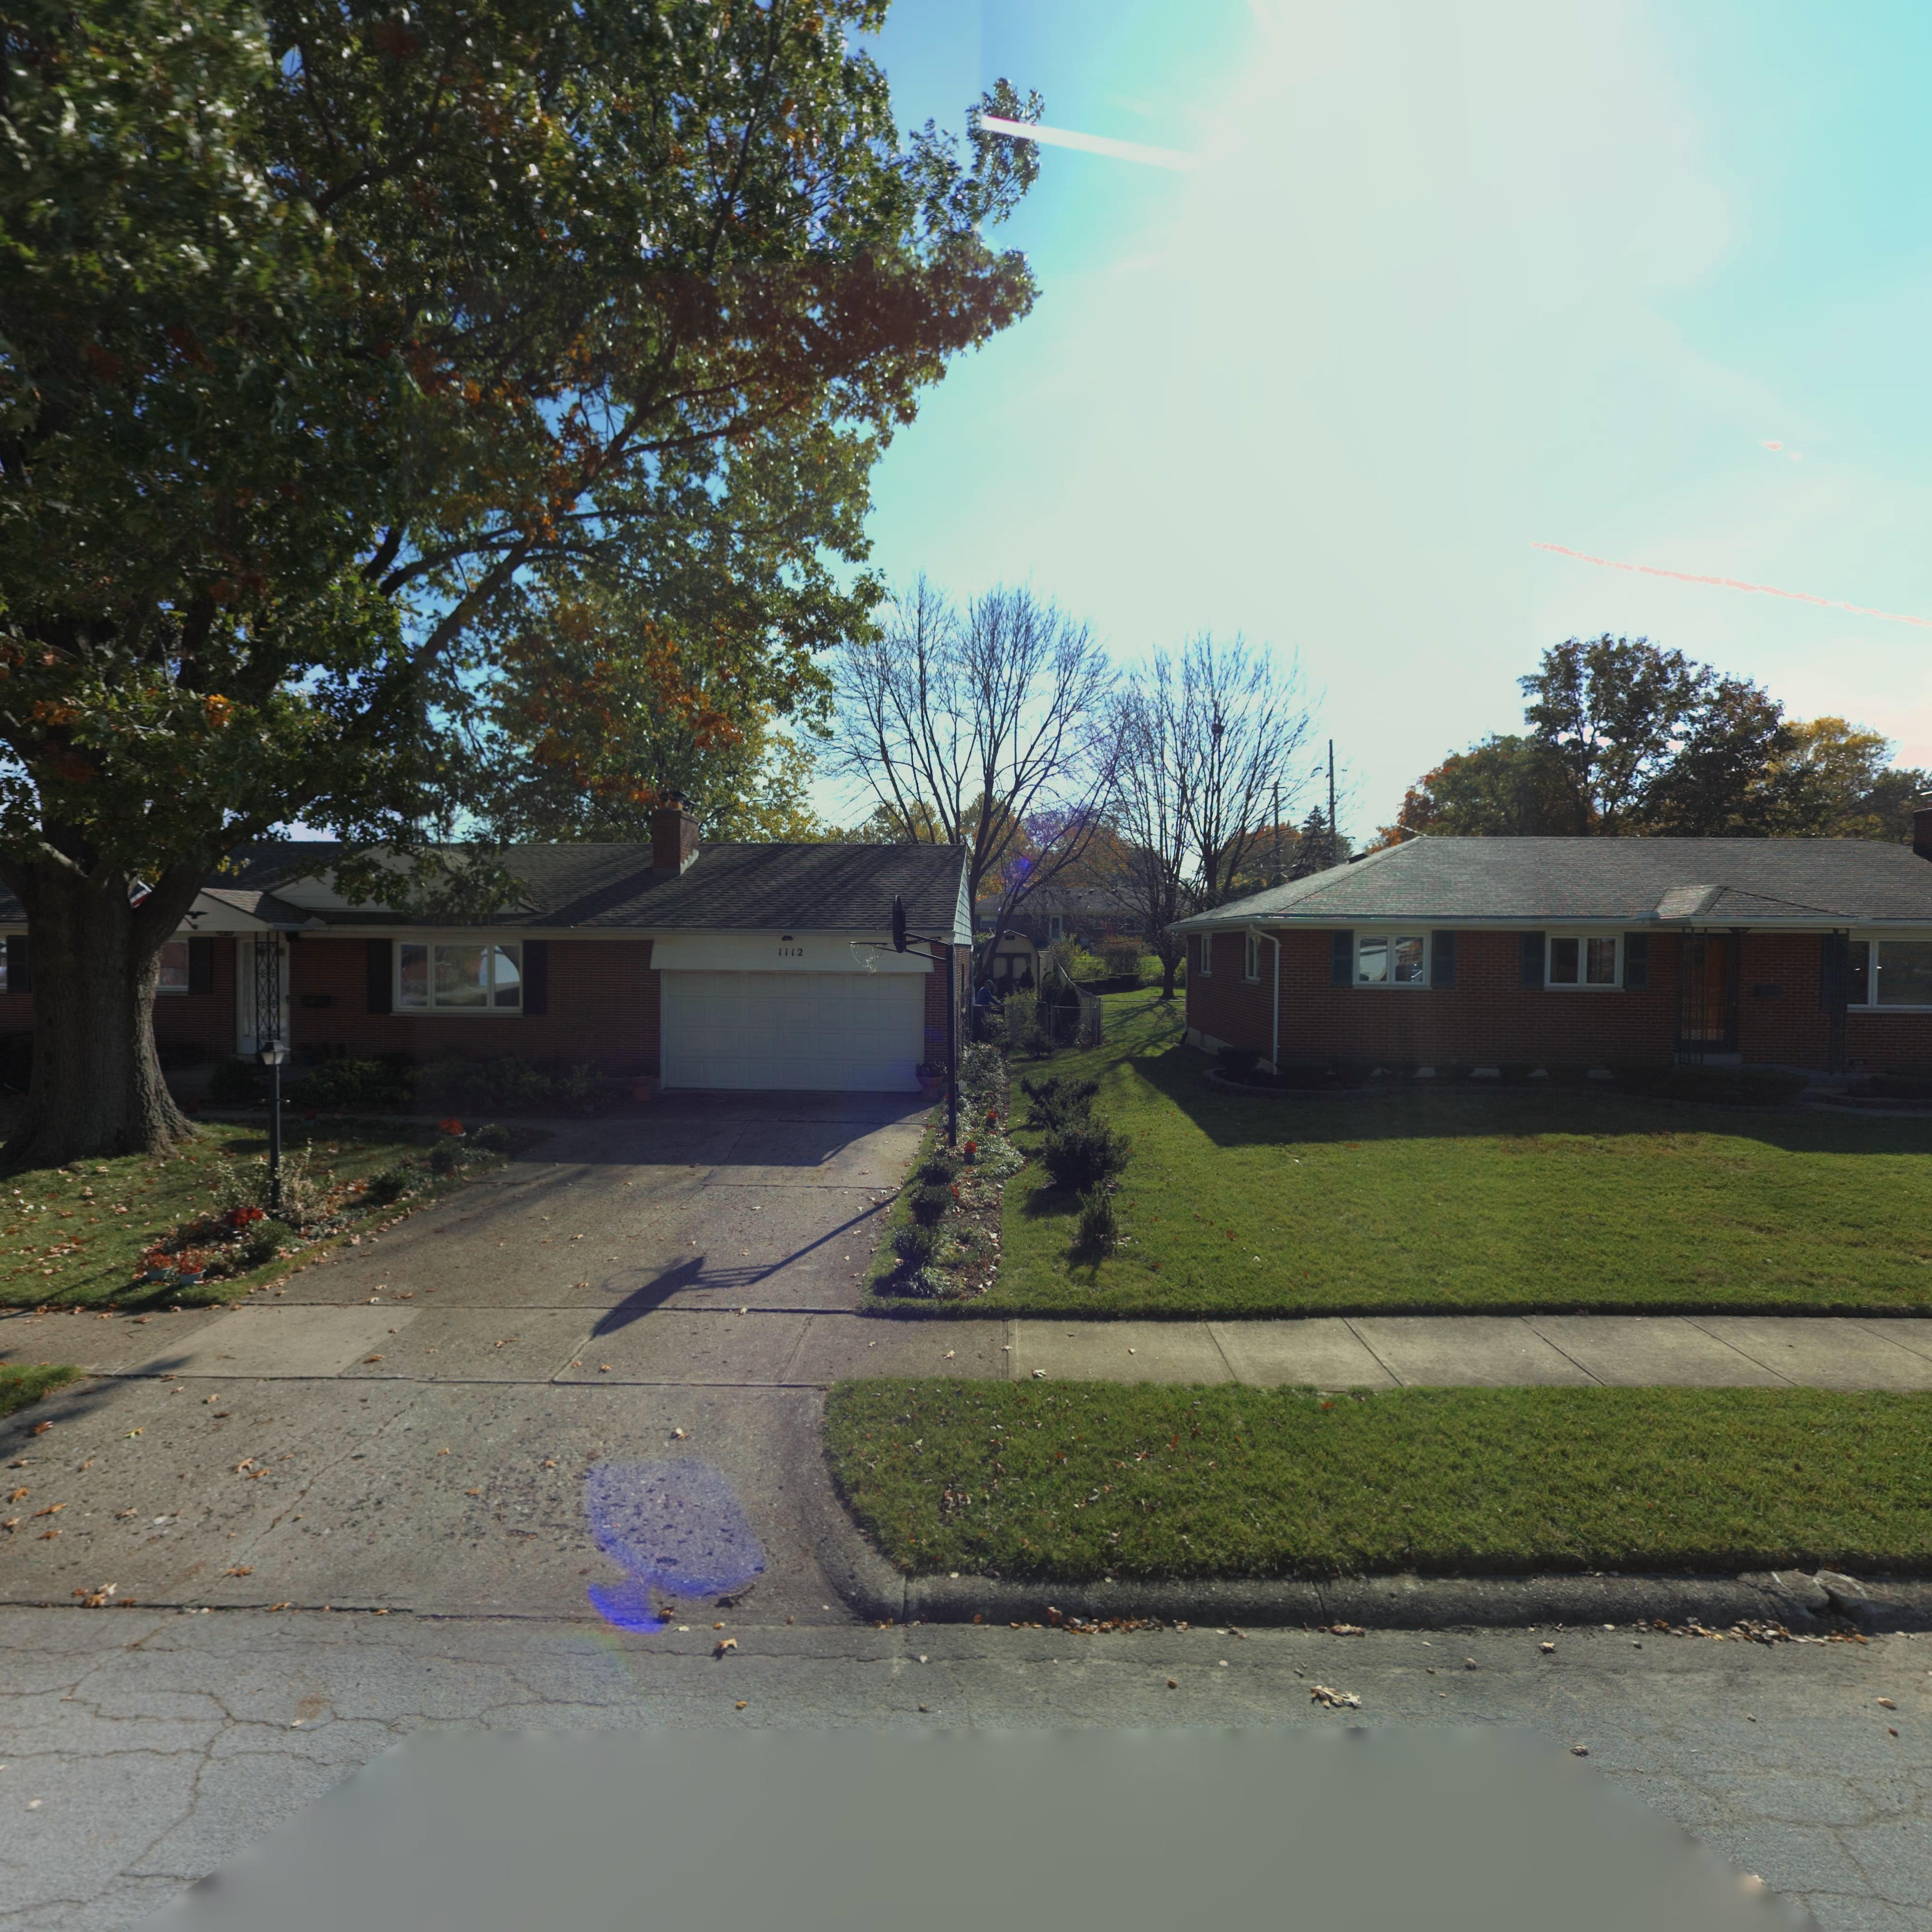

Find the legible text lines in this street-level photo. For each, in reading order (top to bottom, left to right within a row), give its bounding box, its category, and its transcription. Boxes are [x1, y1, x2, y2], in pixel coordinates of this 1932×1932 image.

[777, 947, 803, 956] StreetNumber: 1112